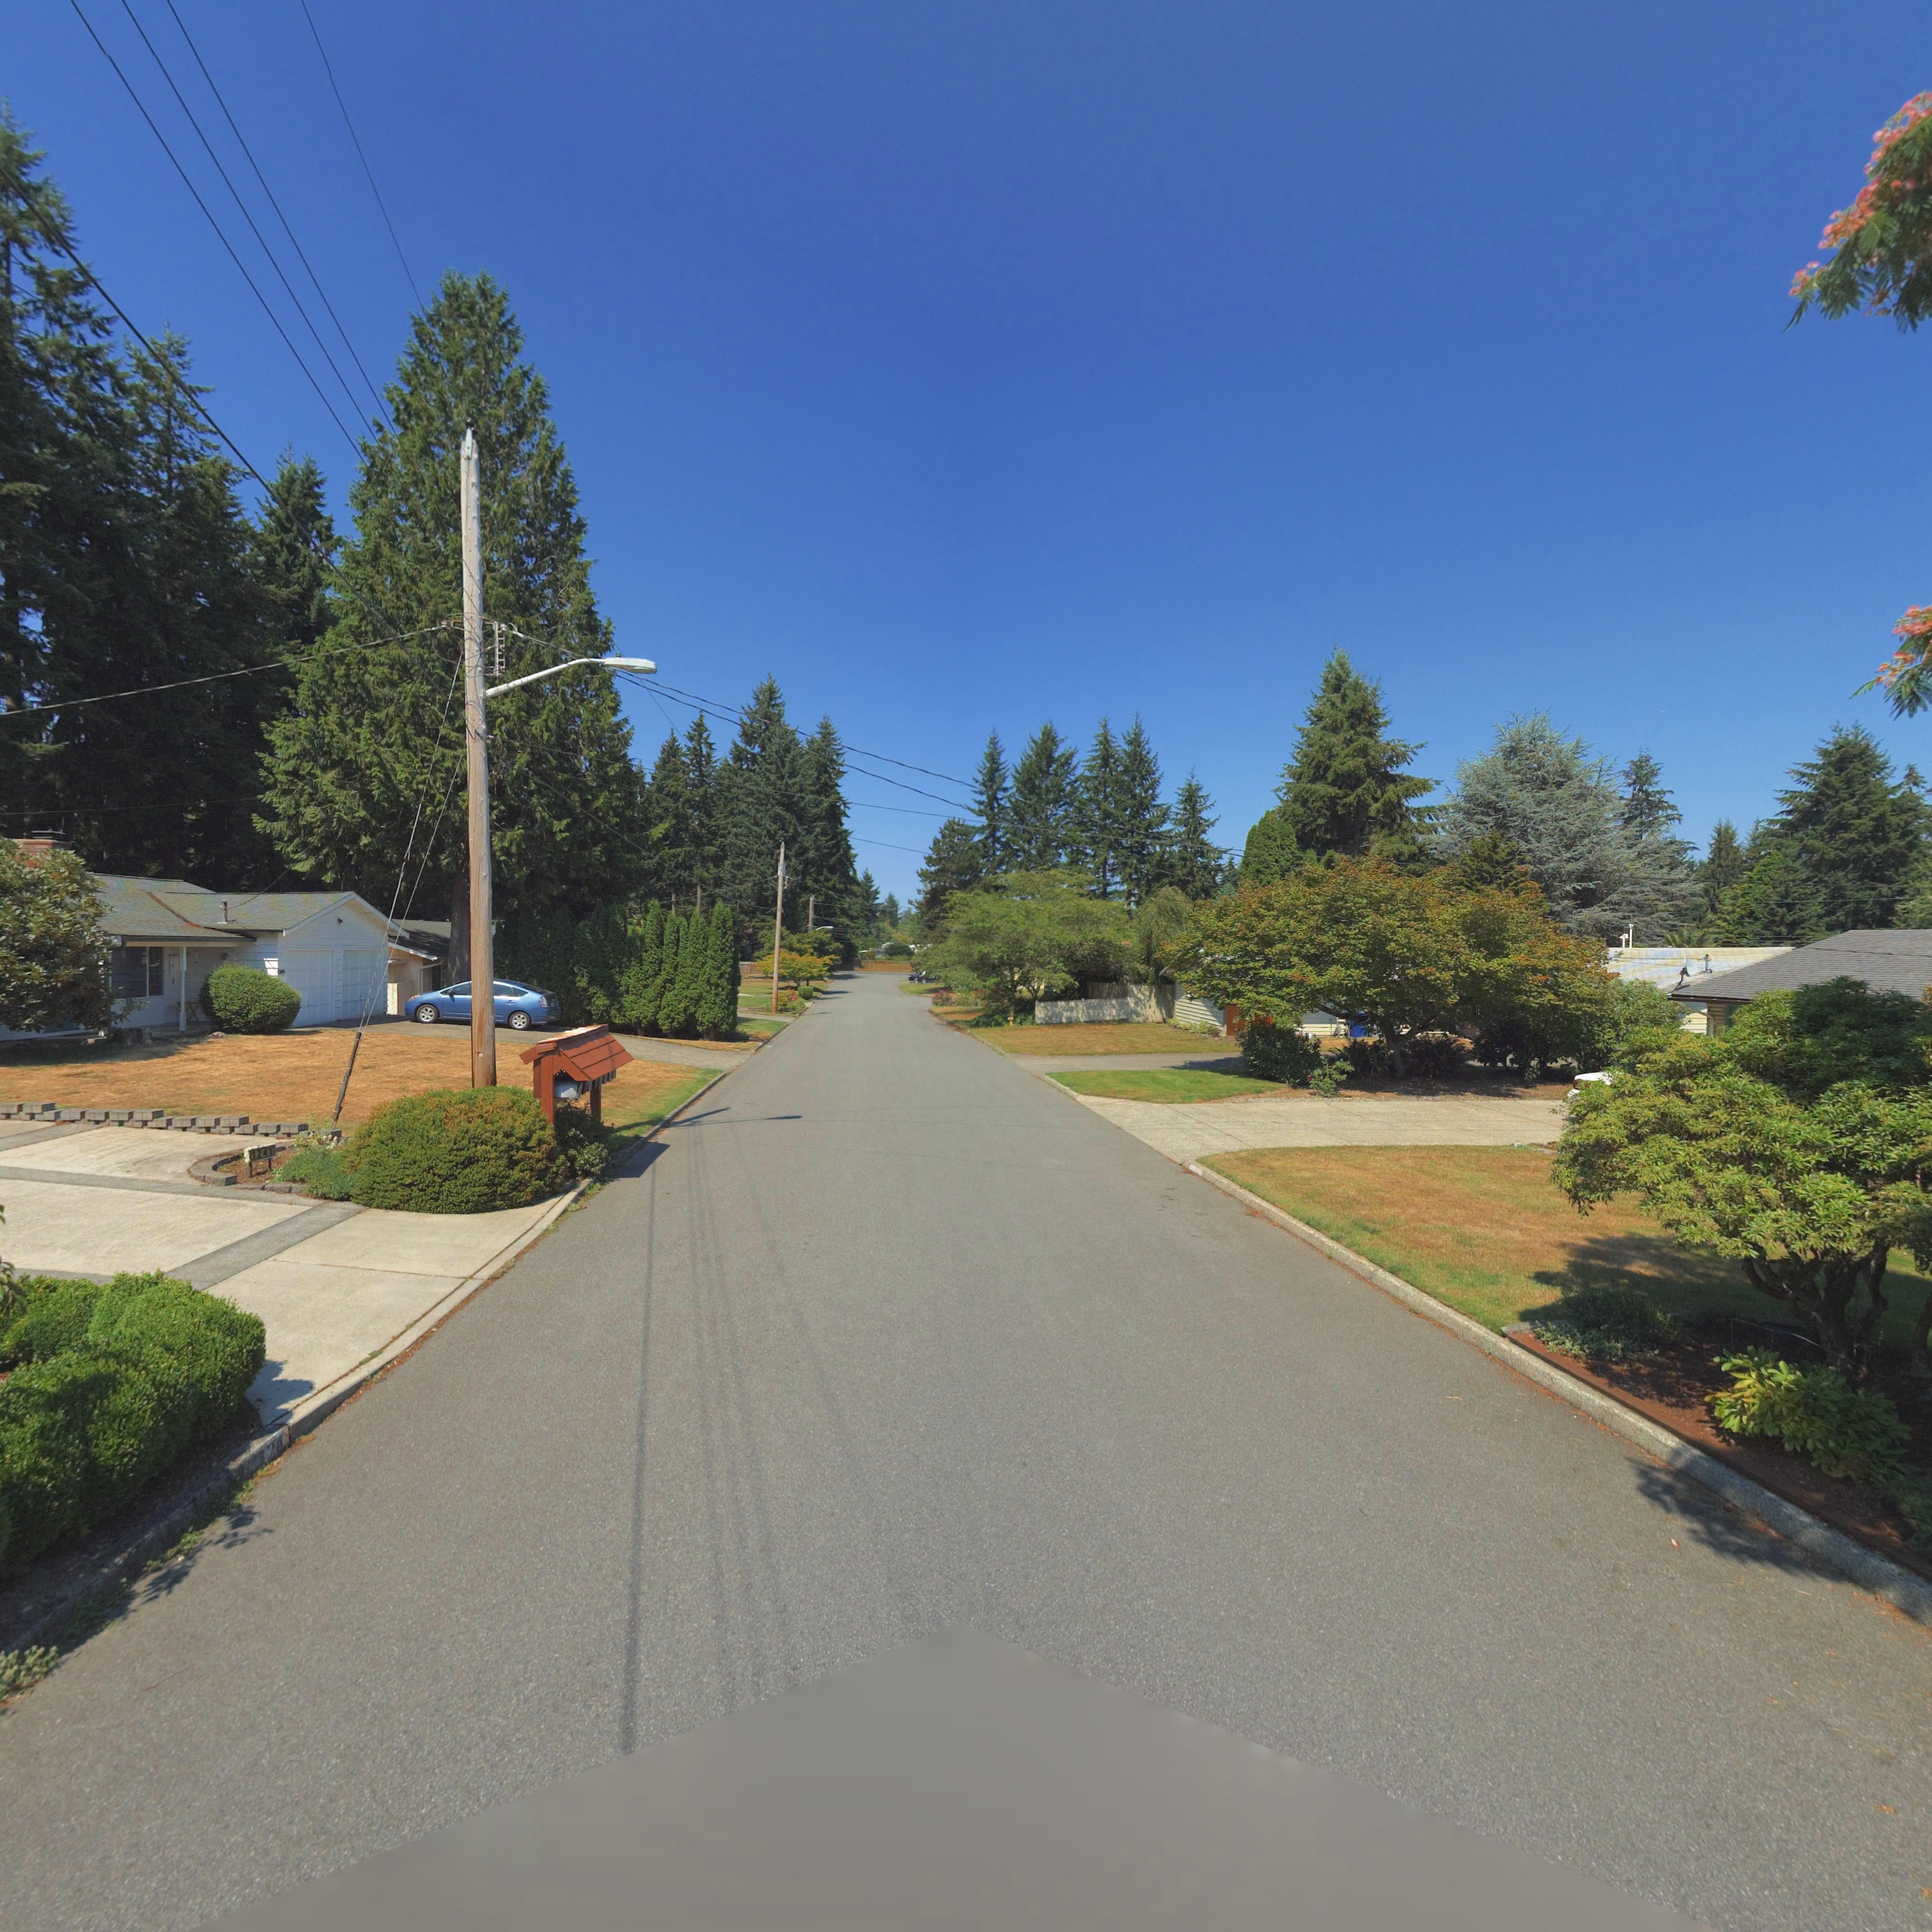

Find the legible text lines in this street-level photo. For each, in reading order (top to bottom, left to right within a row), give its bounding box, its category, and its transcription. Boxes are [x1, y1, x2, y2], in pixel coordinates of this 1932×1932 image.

[251, 1147, 272, 1159] StreetNumber: 1241